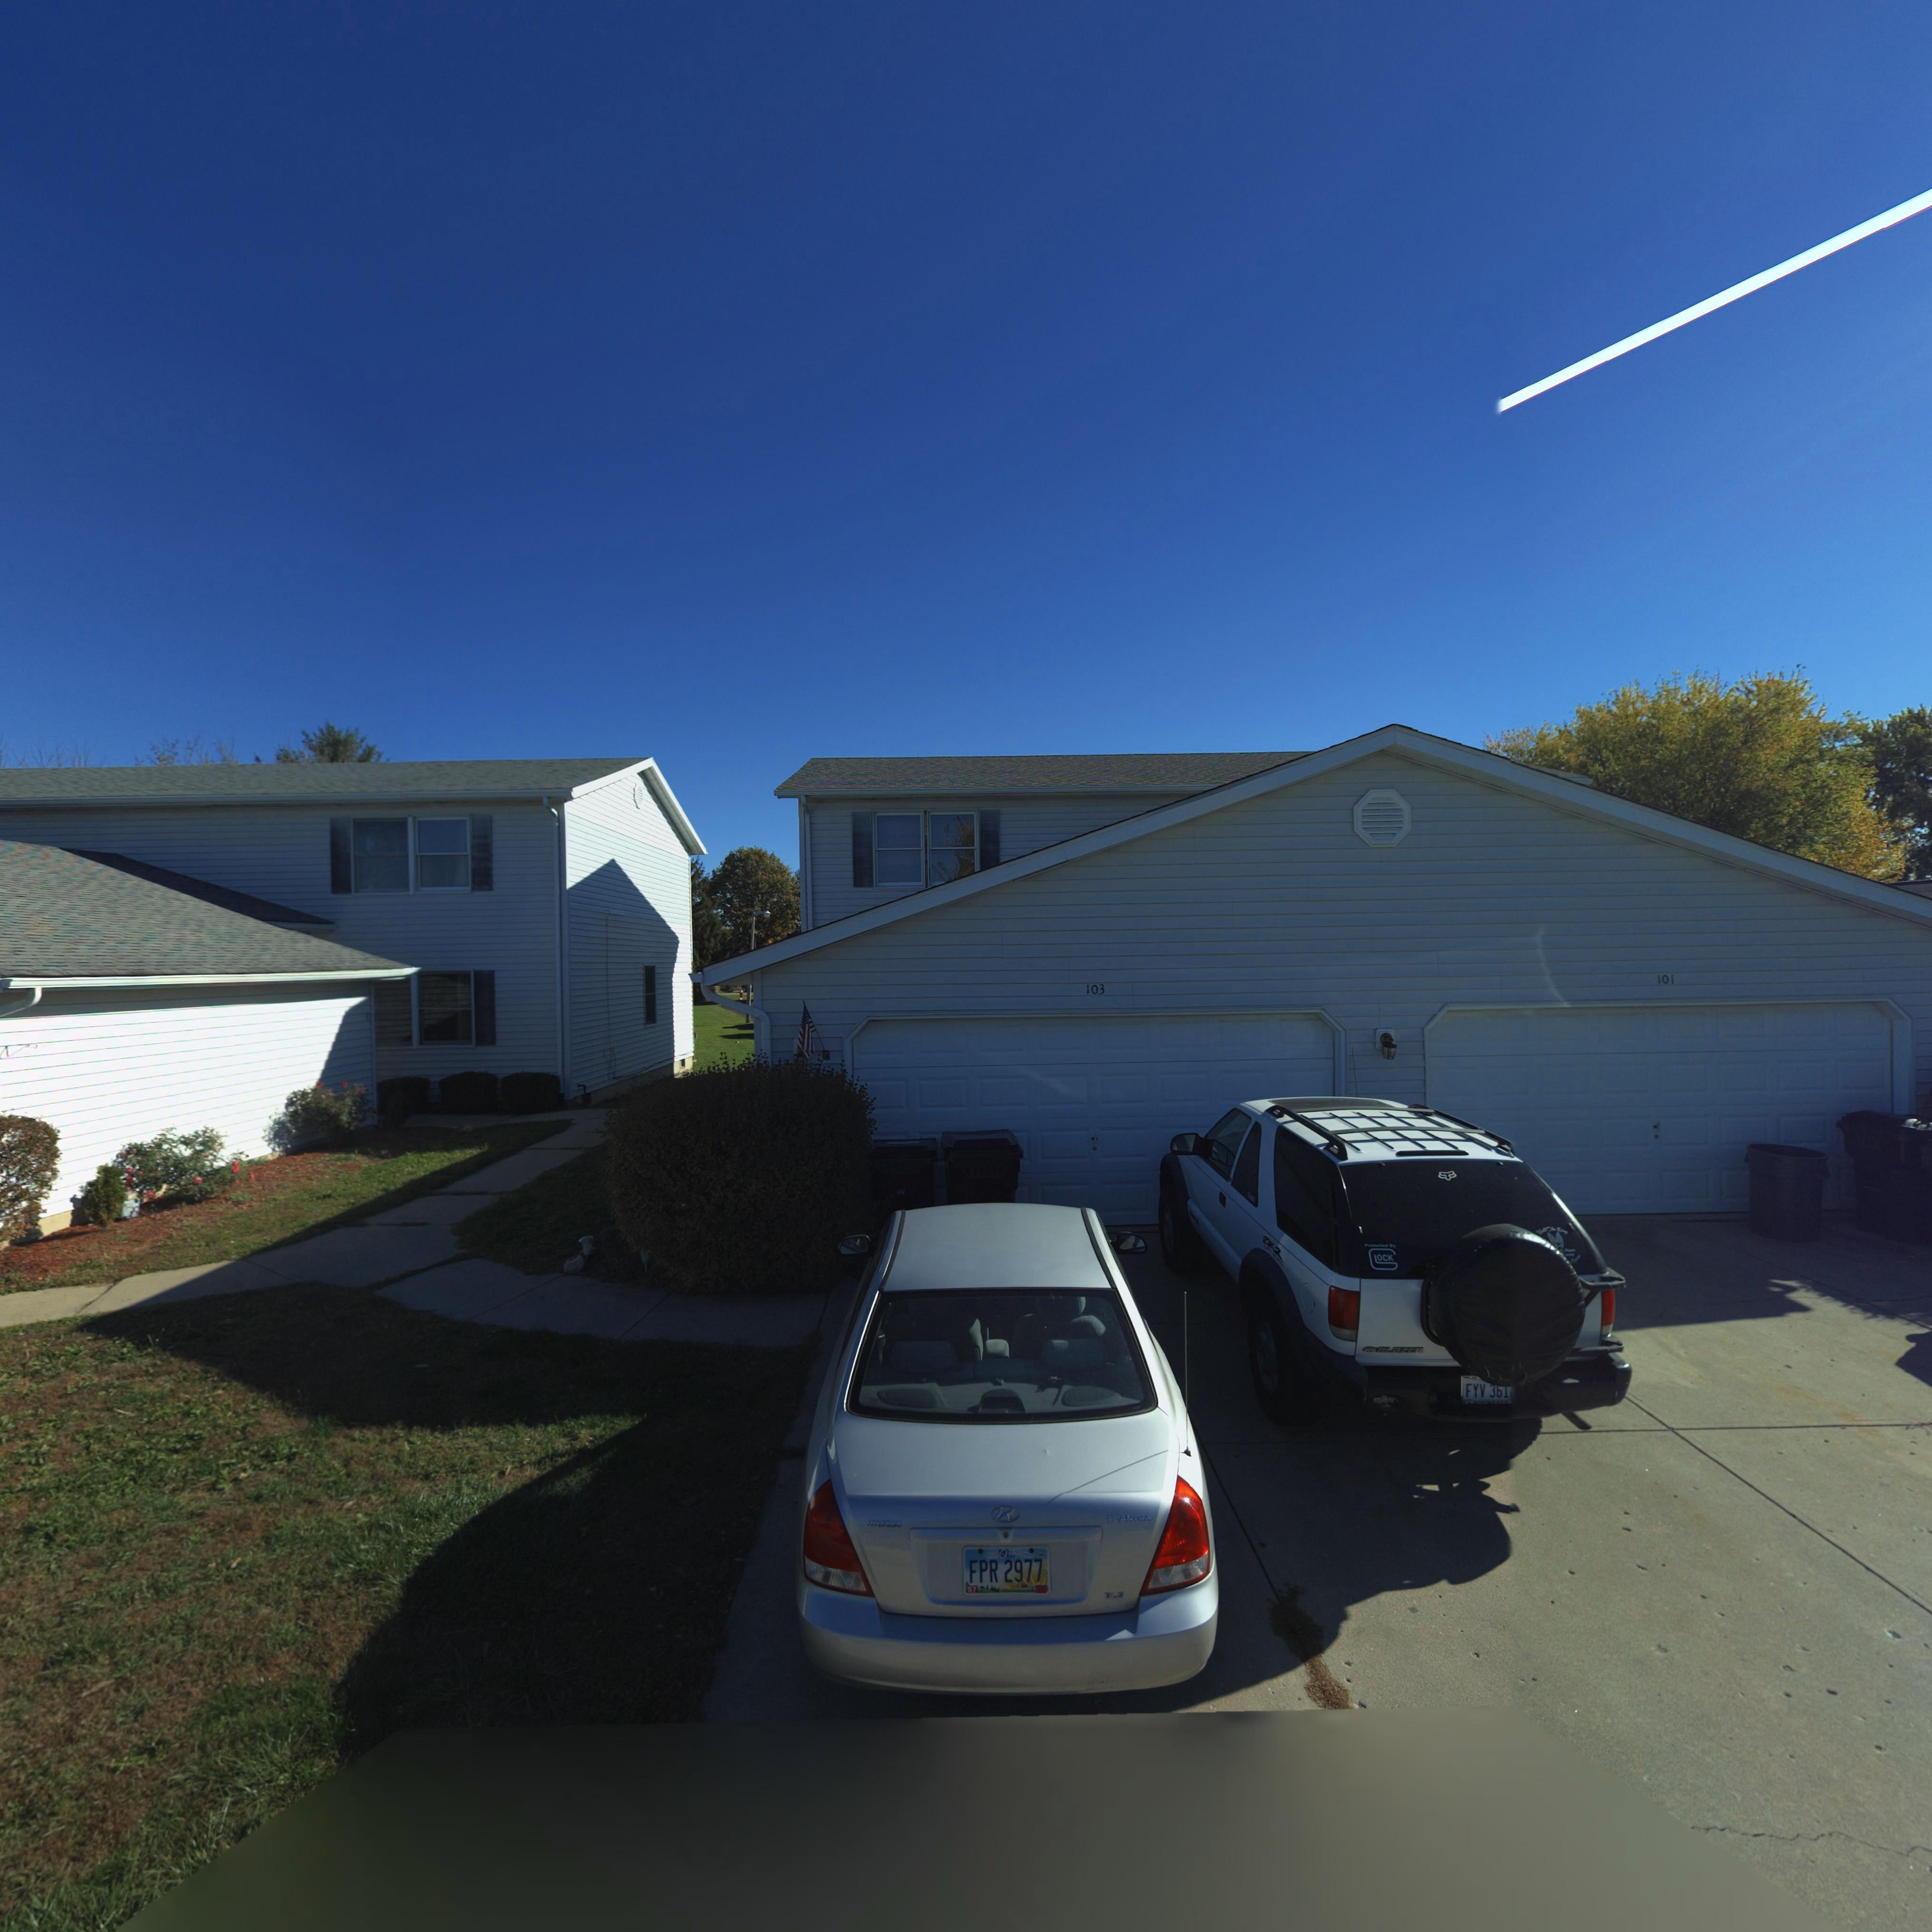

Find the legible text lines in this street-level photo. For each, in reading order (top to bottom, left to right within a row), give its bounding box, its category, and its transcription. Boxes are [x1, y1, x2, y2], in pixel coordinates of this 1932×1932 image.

[1656, 973, 1675, 985] StreetNumber: 101
[1085, 983, 1105, 995] StreetNumber: 103